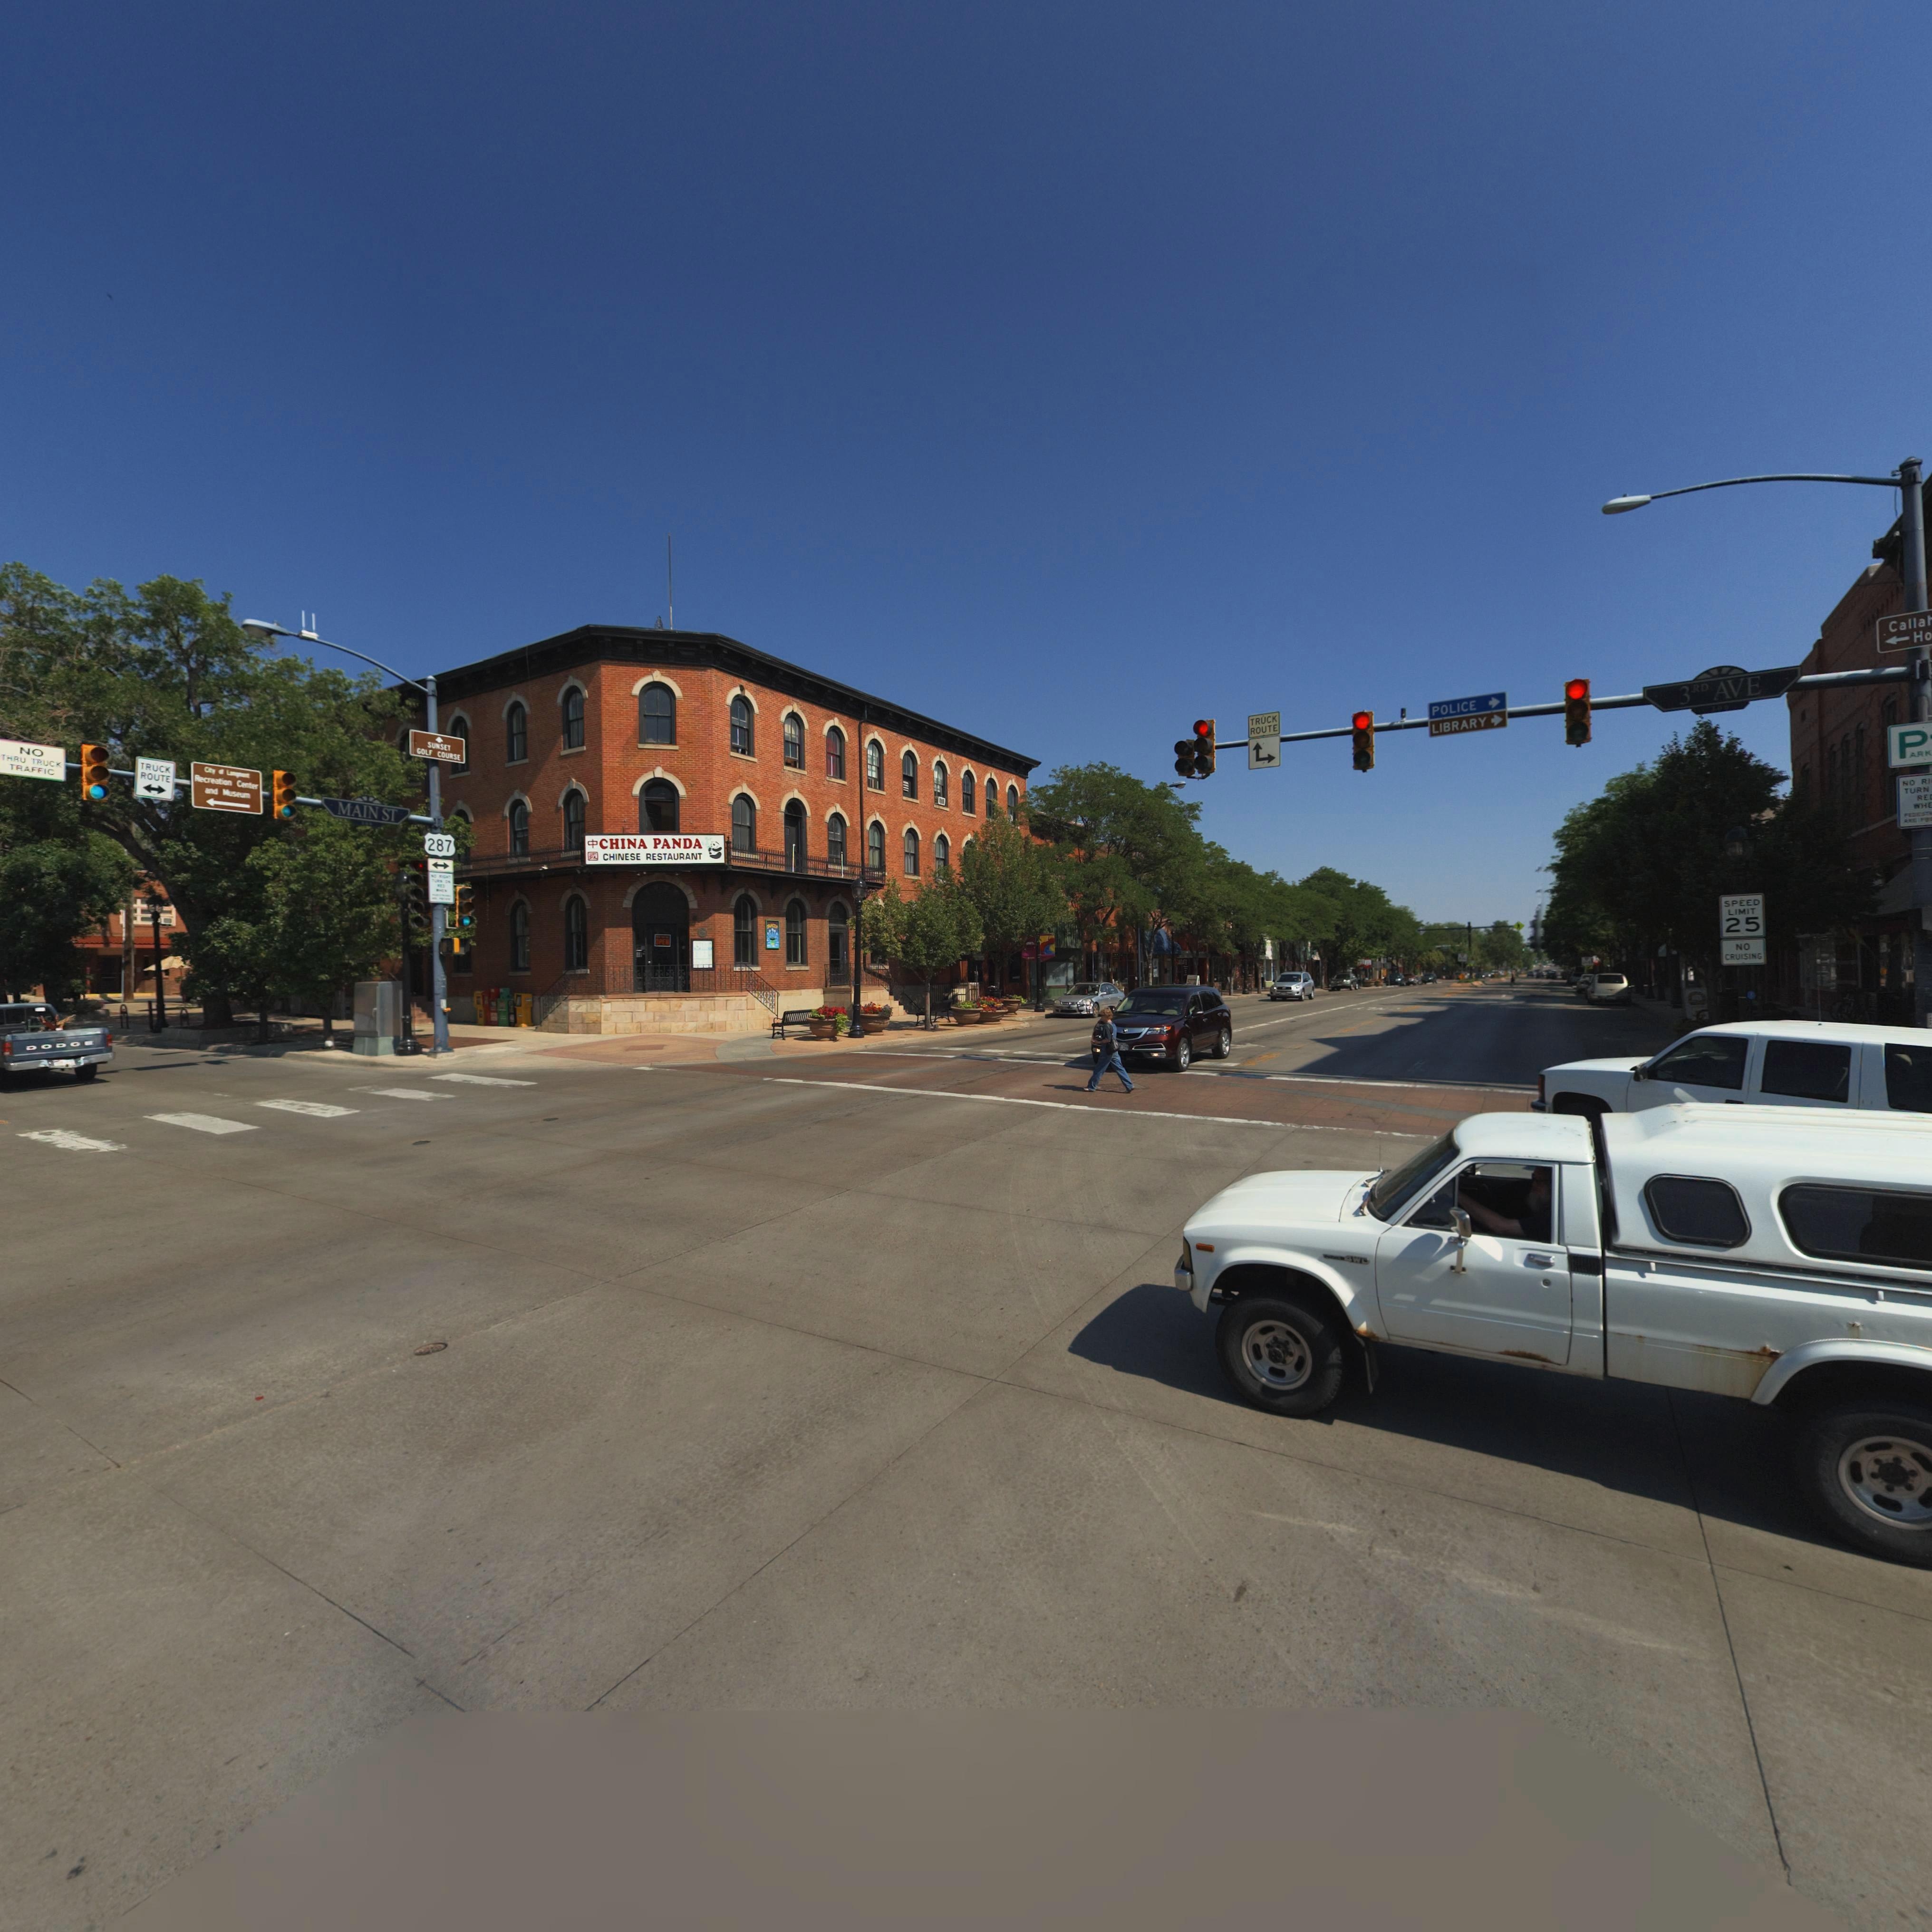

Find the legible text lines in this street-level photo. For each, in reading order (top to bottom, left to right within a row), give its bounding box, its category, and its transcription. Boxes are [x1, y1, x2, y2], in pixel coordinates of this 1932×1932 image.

[1679, 673, 1763, 706] StreetName: 3RD AVE
[337, 801, 398, 822] StreetName: MAIN ST
[598, 837, 703, 850] BusinessName: CHINA PANDA
[602, 852, 703, 861] BusinessName: CHINESE RESTAURANT